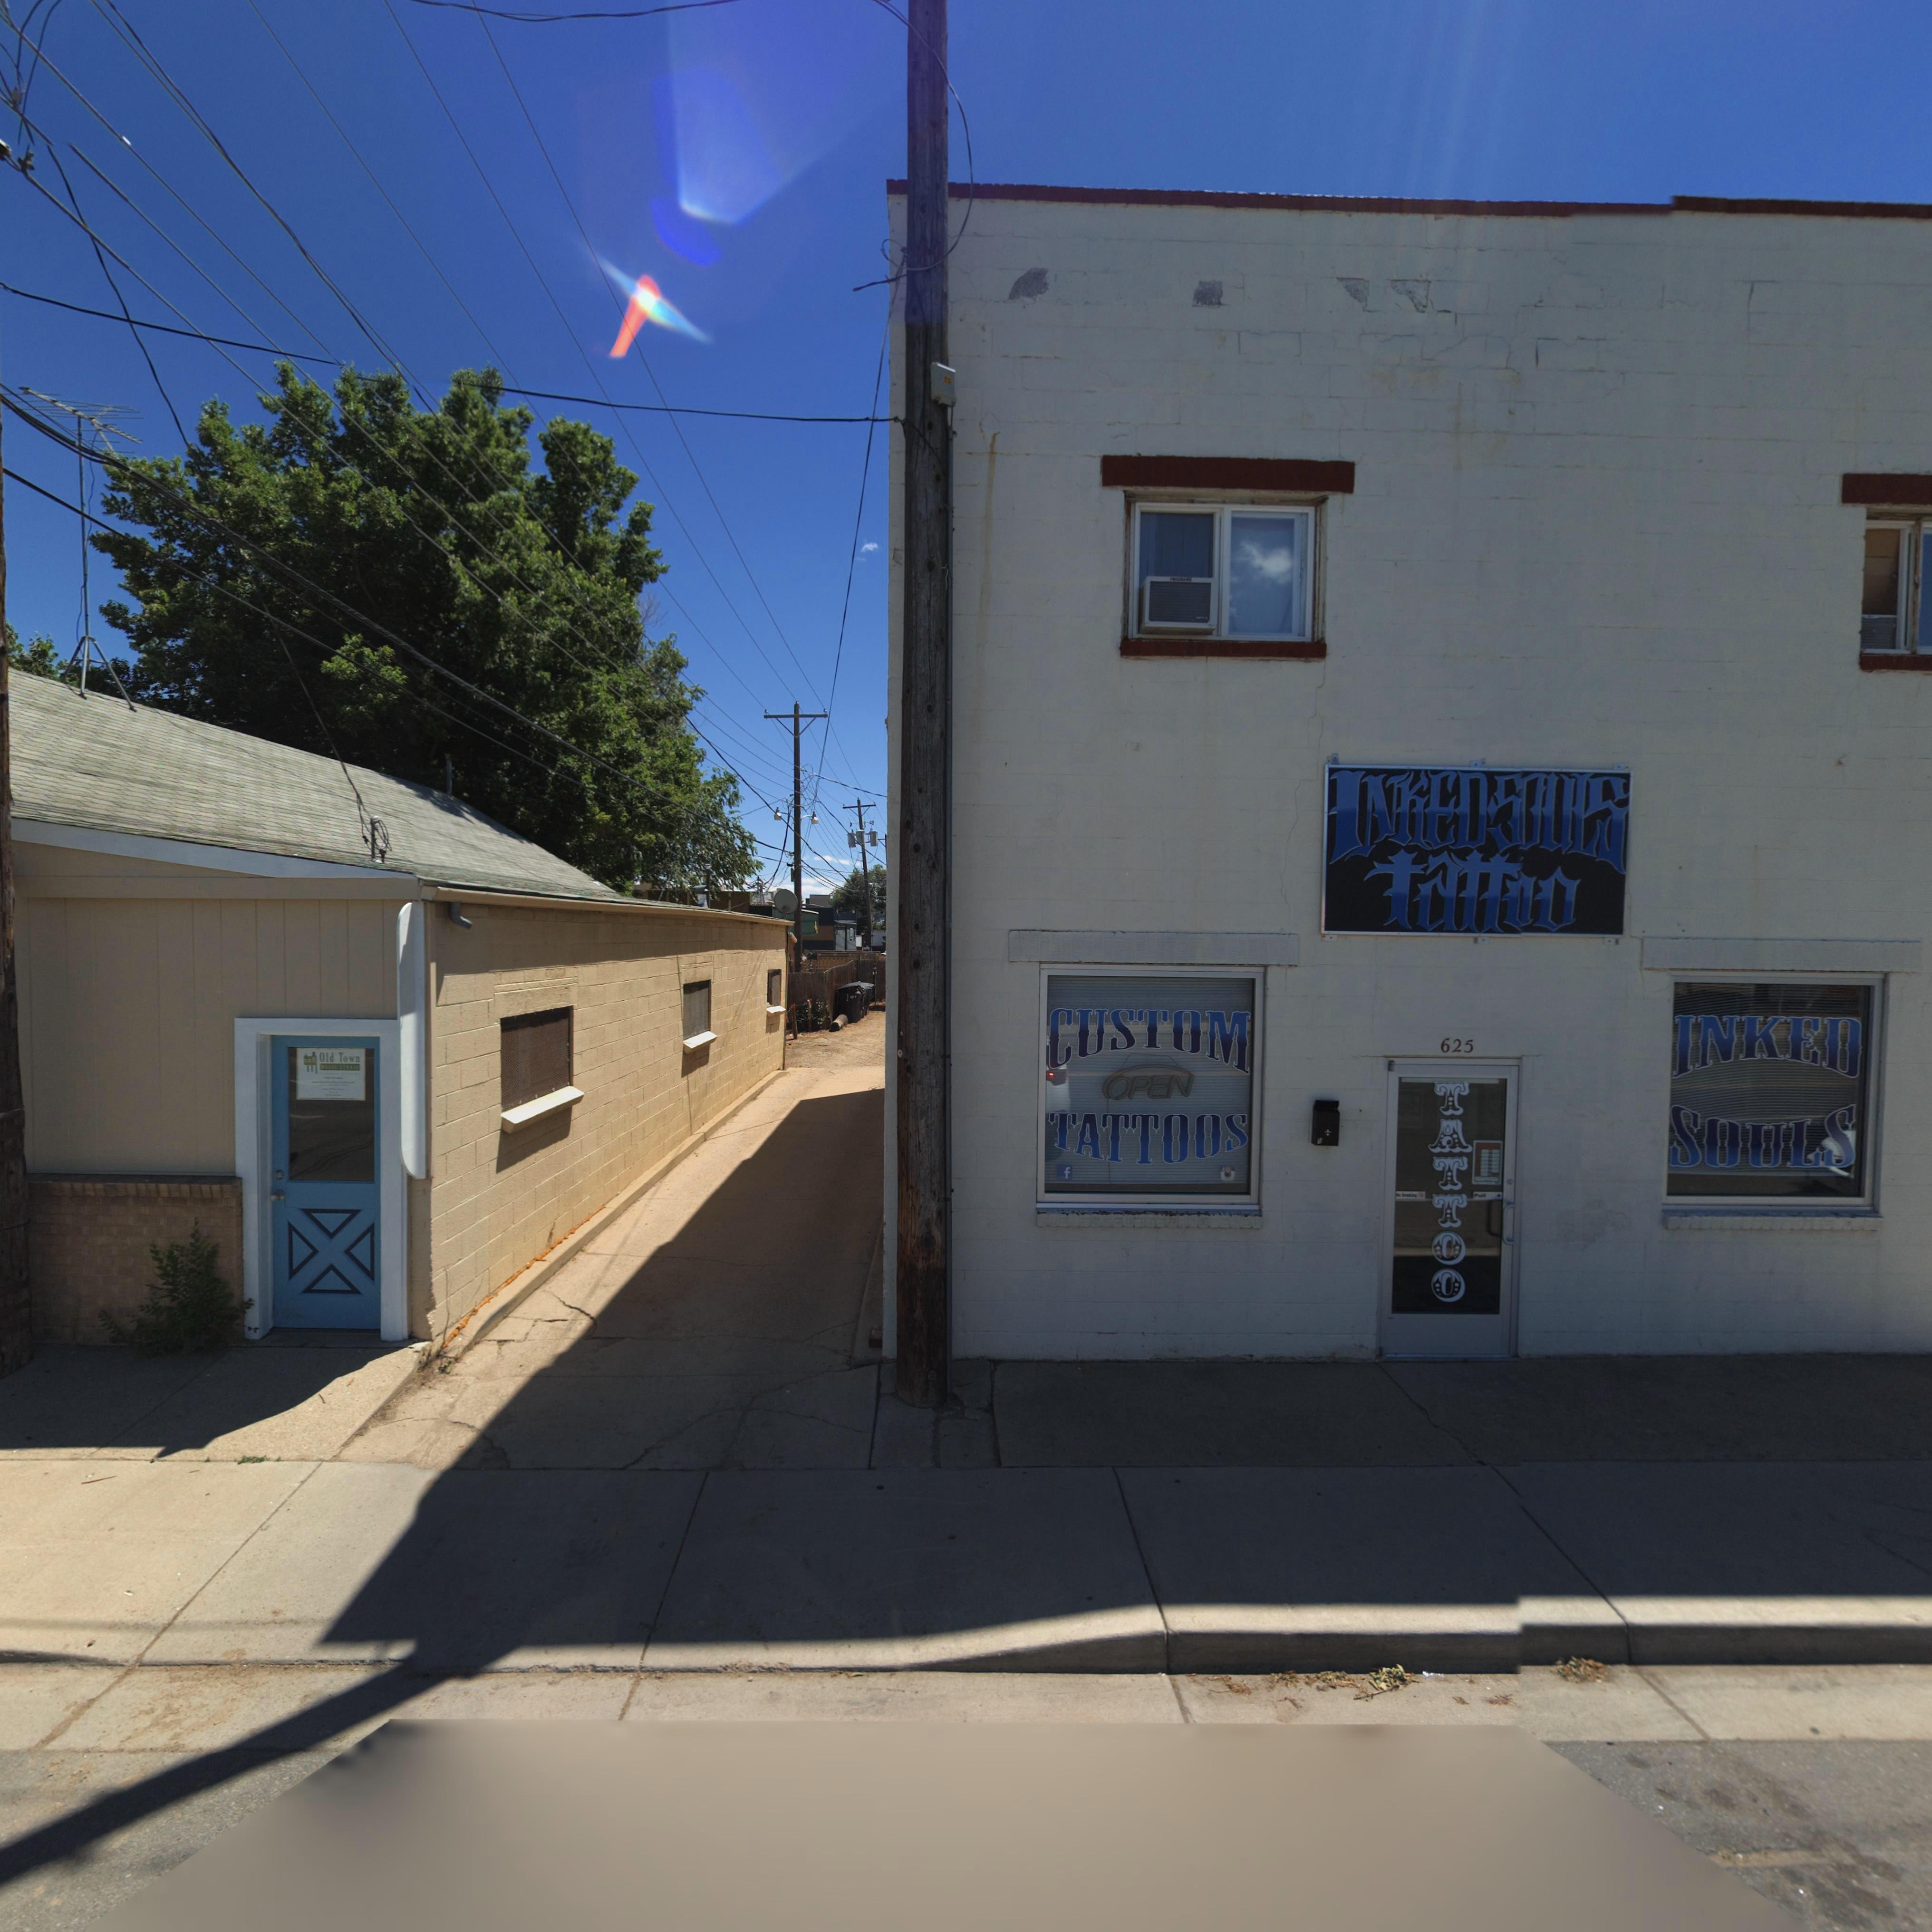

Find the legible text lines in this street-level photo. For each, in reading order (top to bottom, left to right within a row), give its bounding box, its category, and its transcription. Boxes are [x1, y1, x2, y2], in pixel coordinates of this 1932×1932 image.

[1327, 768, 1630, 875] BusinessName: INKEDSOULS
[1362, 847, 1582, 934] BusinessName: tattoo
[1440, 1037, 1474, 1053] StreetNumber: 625
[1671, 1013, 1864, 1079] BusinessName: INKED
[1668, 1102, 1857, 1169] BusinessName: SOULS
[1427, 1080, 1473, 1303] BusinessName: TATTOO